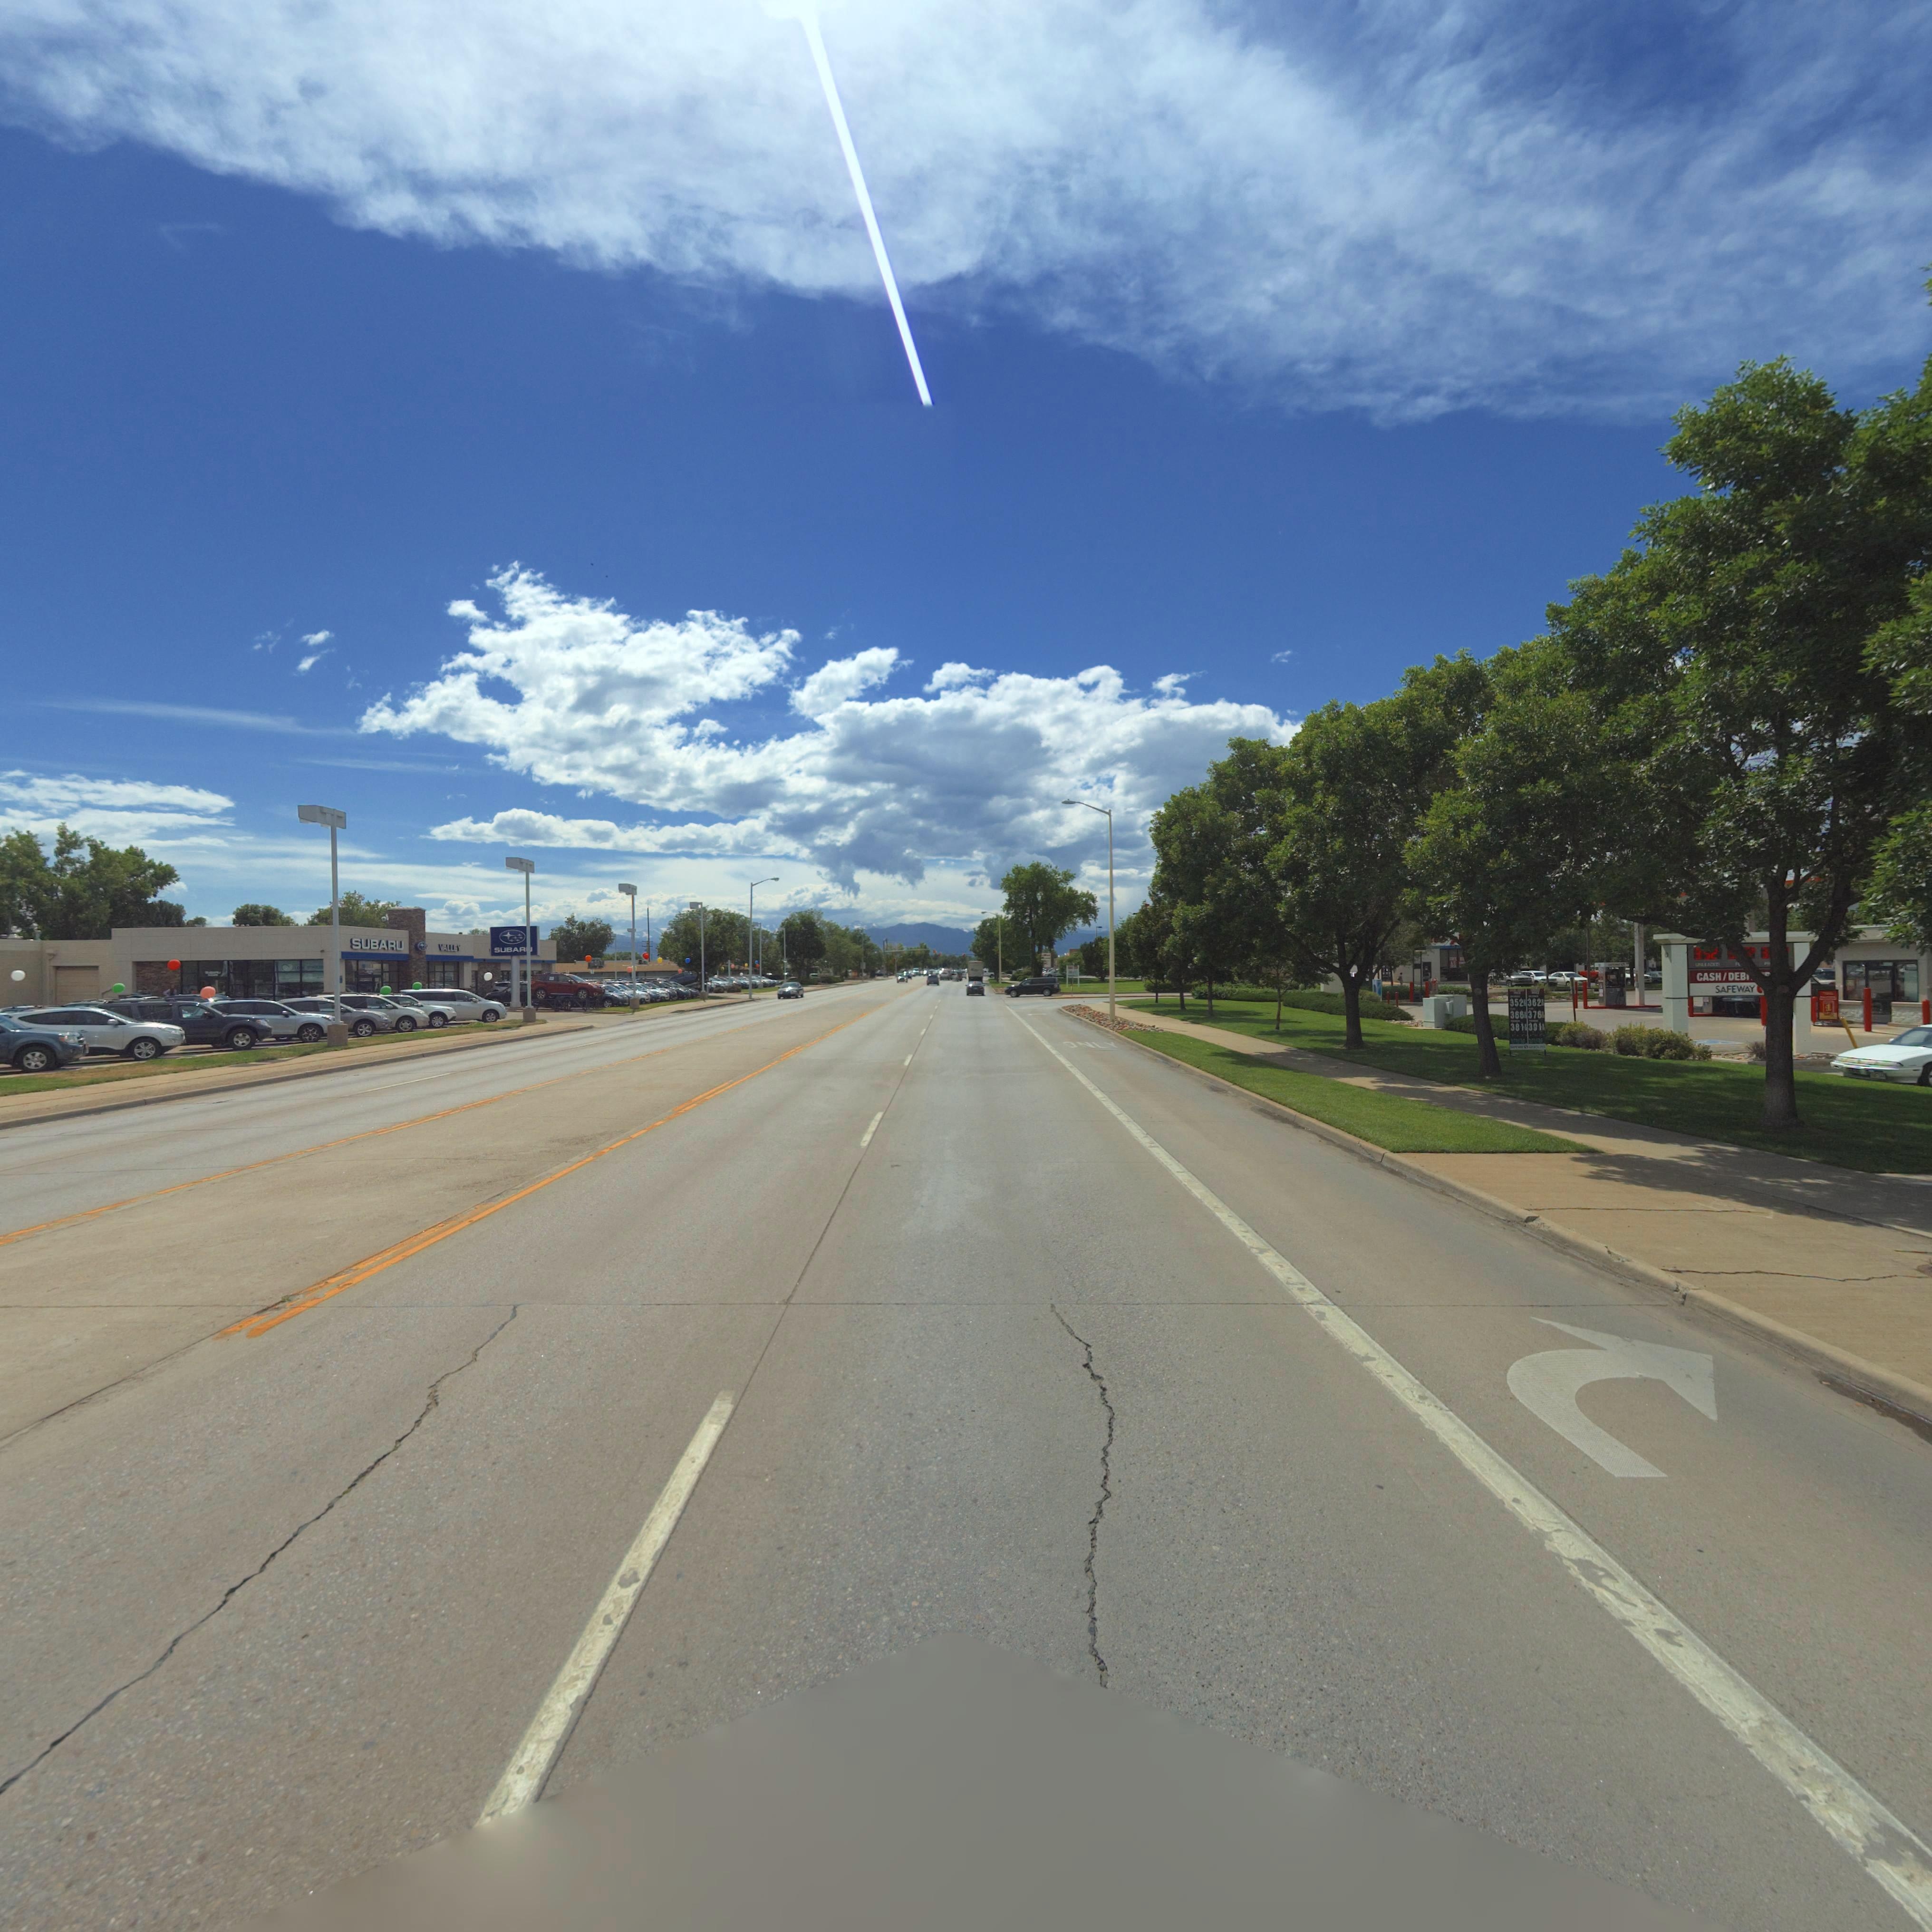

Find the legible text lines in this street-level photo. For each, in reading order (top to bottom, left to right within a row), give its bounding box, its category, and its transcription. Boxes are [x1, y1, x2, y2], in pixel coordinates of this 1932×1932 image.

[350, 937, 404, 951] BusinessName: SUBARU
[437, 944, 461, 951] BusinessName: VALLEY
[494, 947, 526, 953] BusinessName: SUBAR
[1714, 985, 1755, 993] BusinessName: SAFEWAY